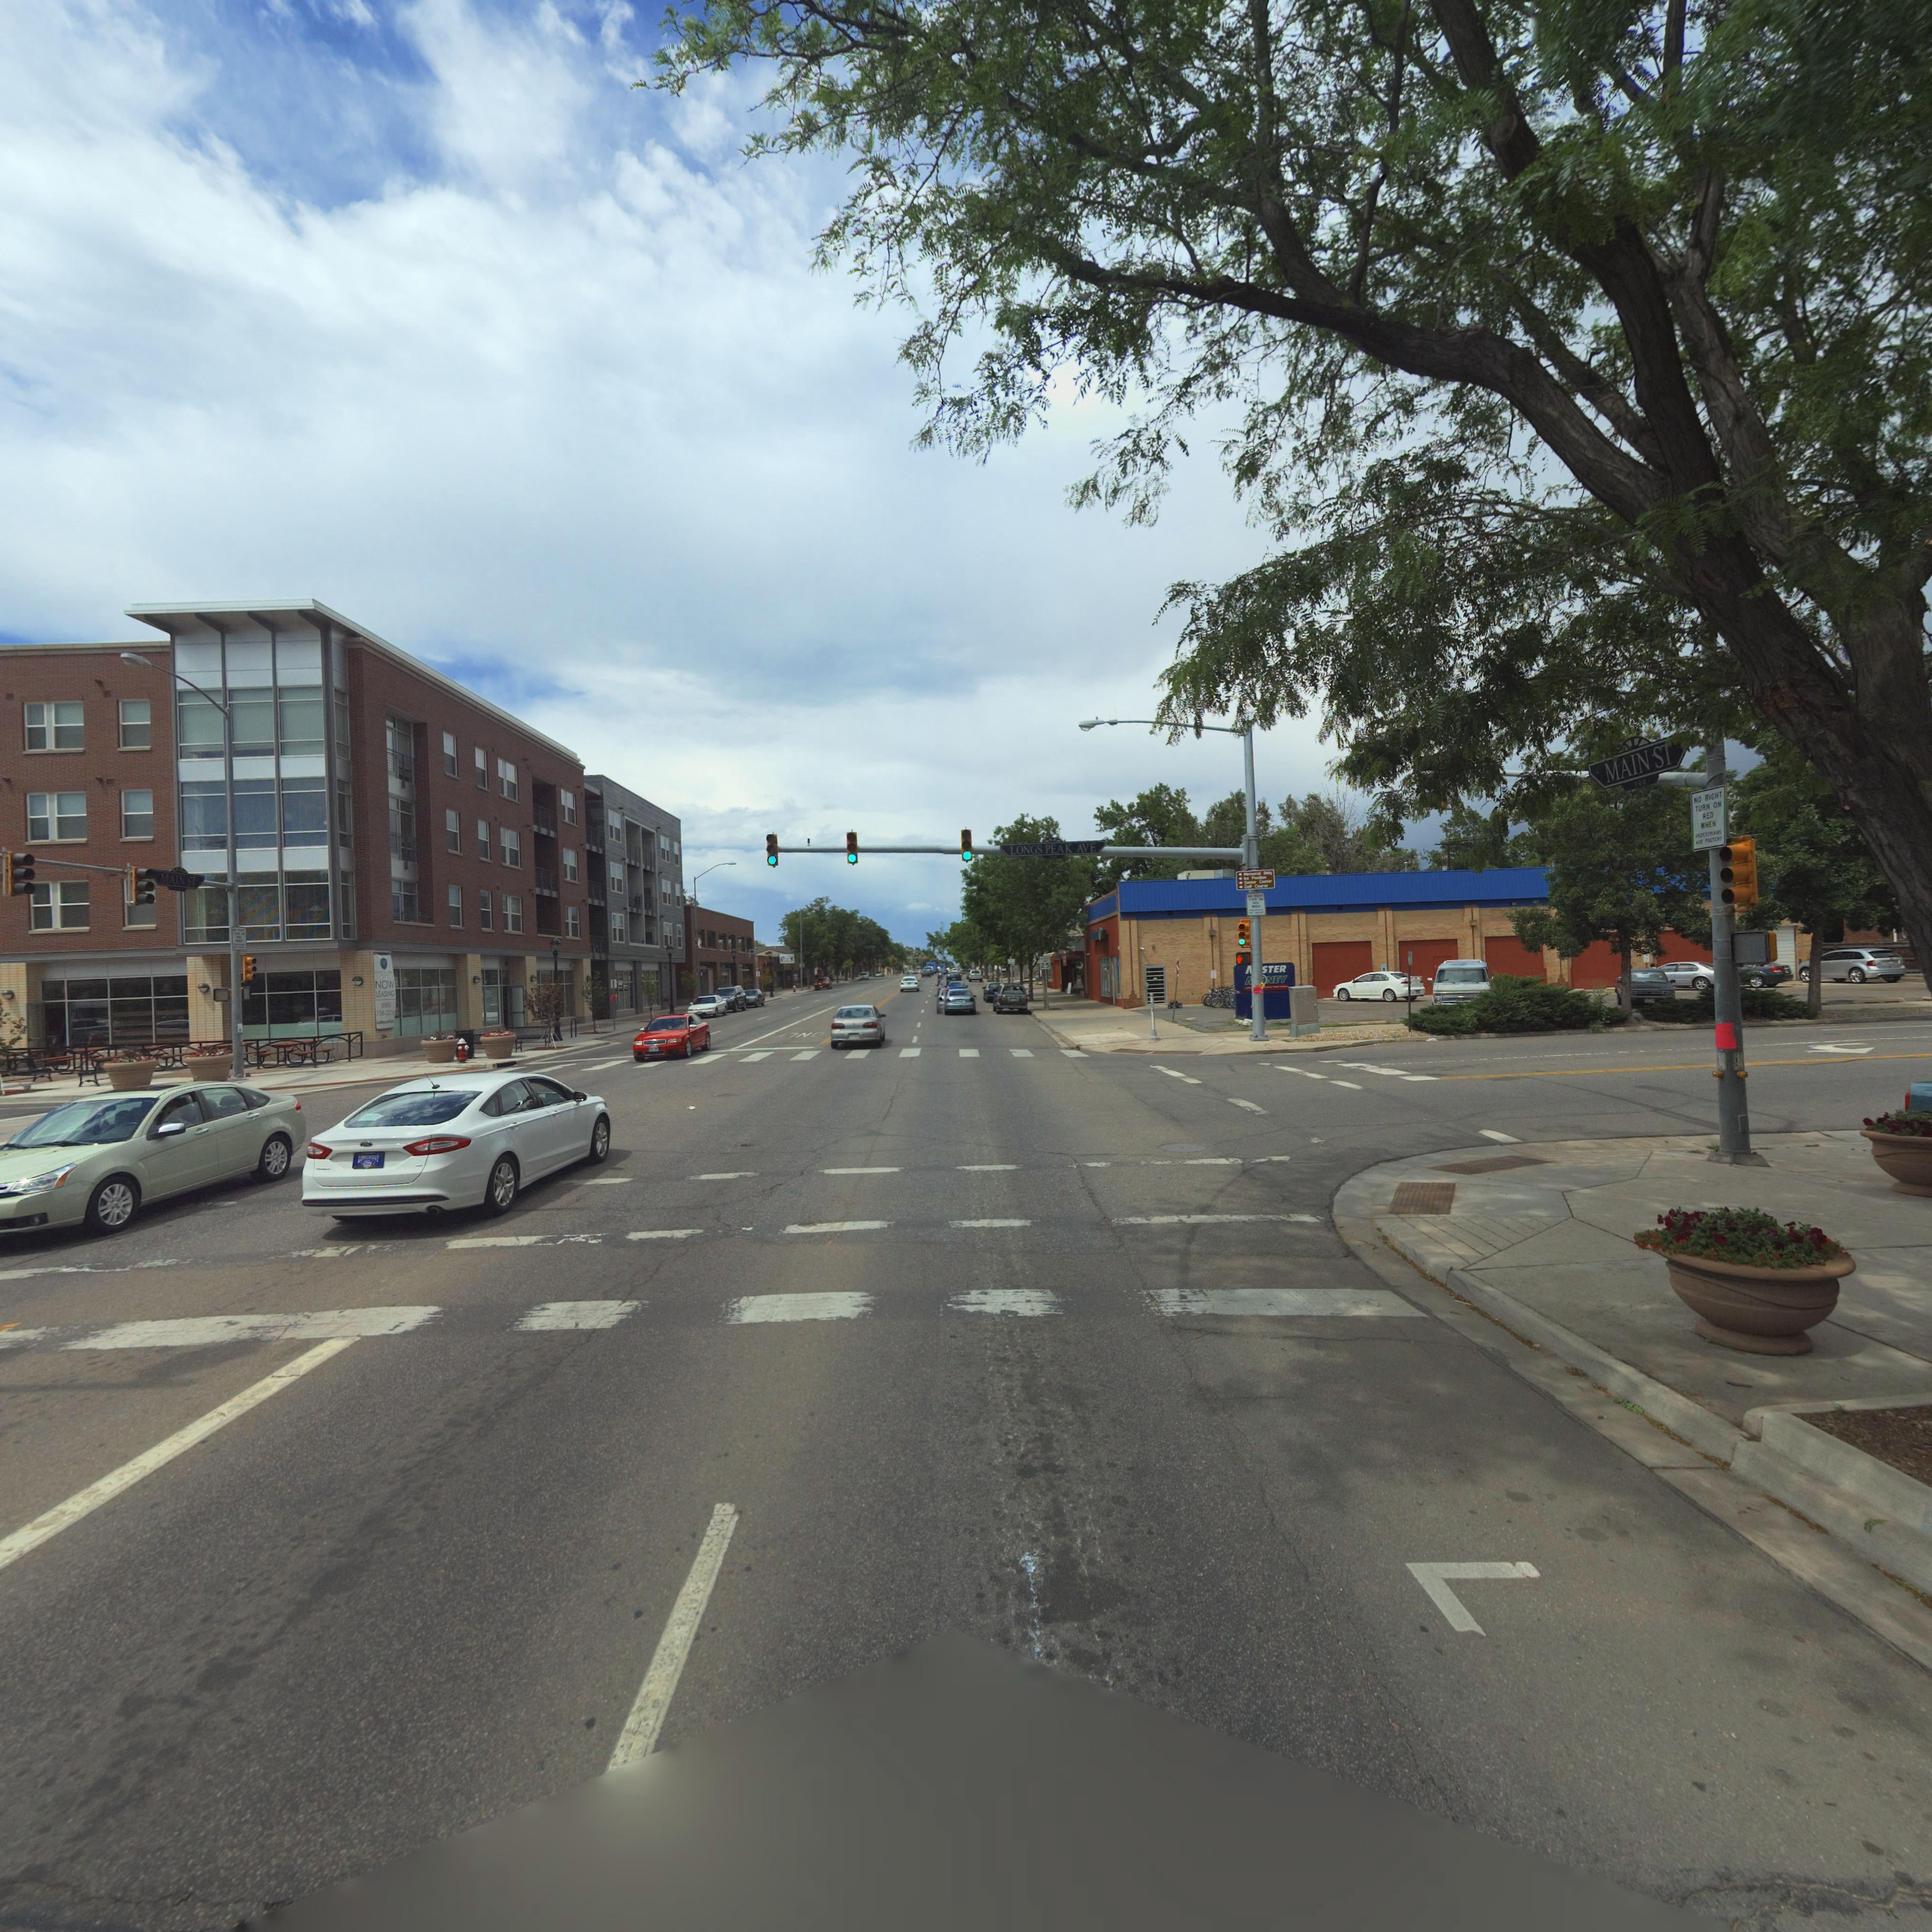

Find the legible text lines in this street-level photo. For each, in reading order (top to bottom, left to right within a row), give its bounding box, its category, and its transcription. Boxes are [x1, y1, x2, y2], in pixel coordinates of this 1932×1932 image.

[1604, 741, 1672, 784] StreetName: MAIN ST
[1633, 778, 1647, 788] StreetNumberRange: 500
[1009, 842, 1097, 855] StreetName: LONGS PEAK AVE
[160, 872, 197, 887] StreetName: MAIN ST
[1262, 964, 1287, 974] BusinessName: STER
[1265, 975, 1288, 984] BusinessName: NEY